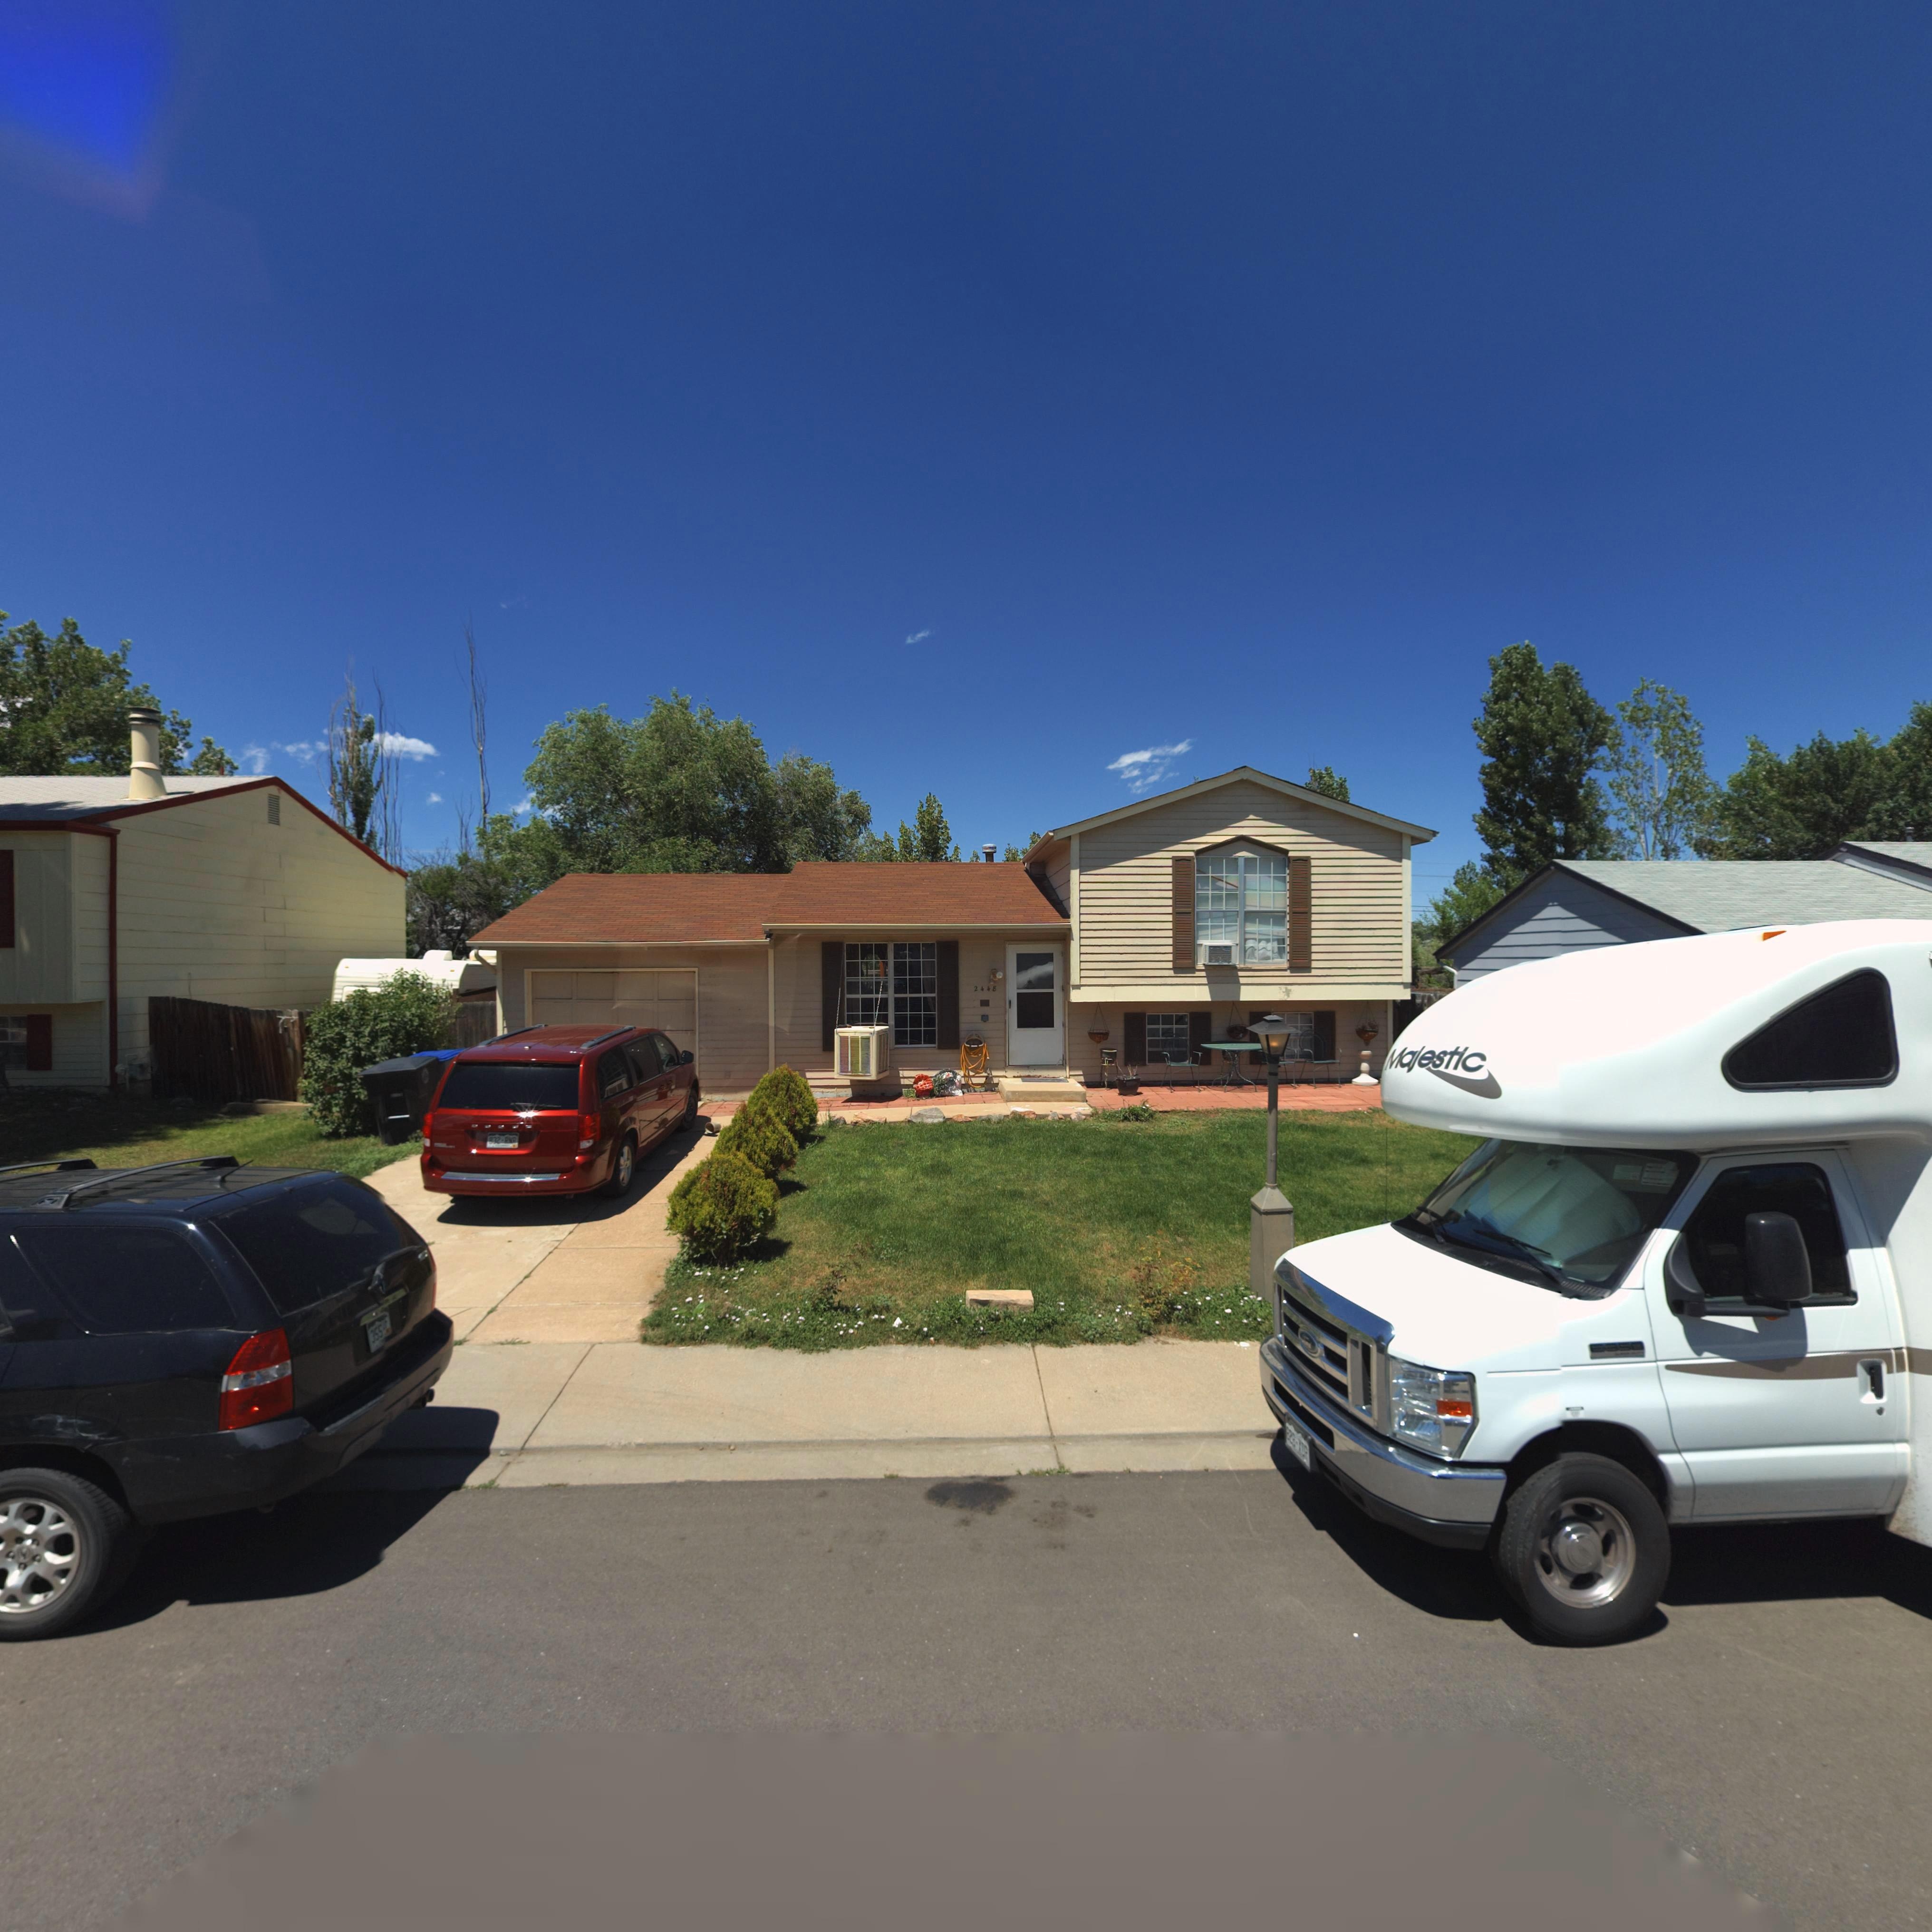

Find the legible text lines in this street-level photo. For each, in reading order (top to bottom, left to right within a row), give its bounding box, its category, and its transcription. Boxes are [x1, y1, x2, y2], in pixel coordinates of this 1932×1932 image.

[974, 985, 996, 992] StreetNumber: 2448